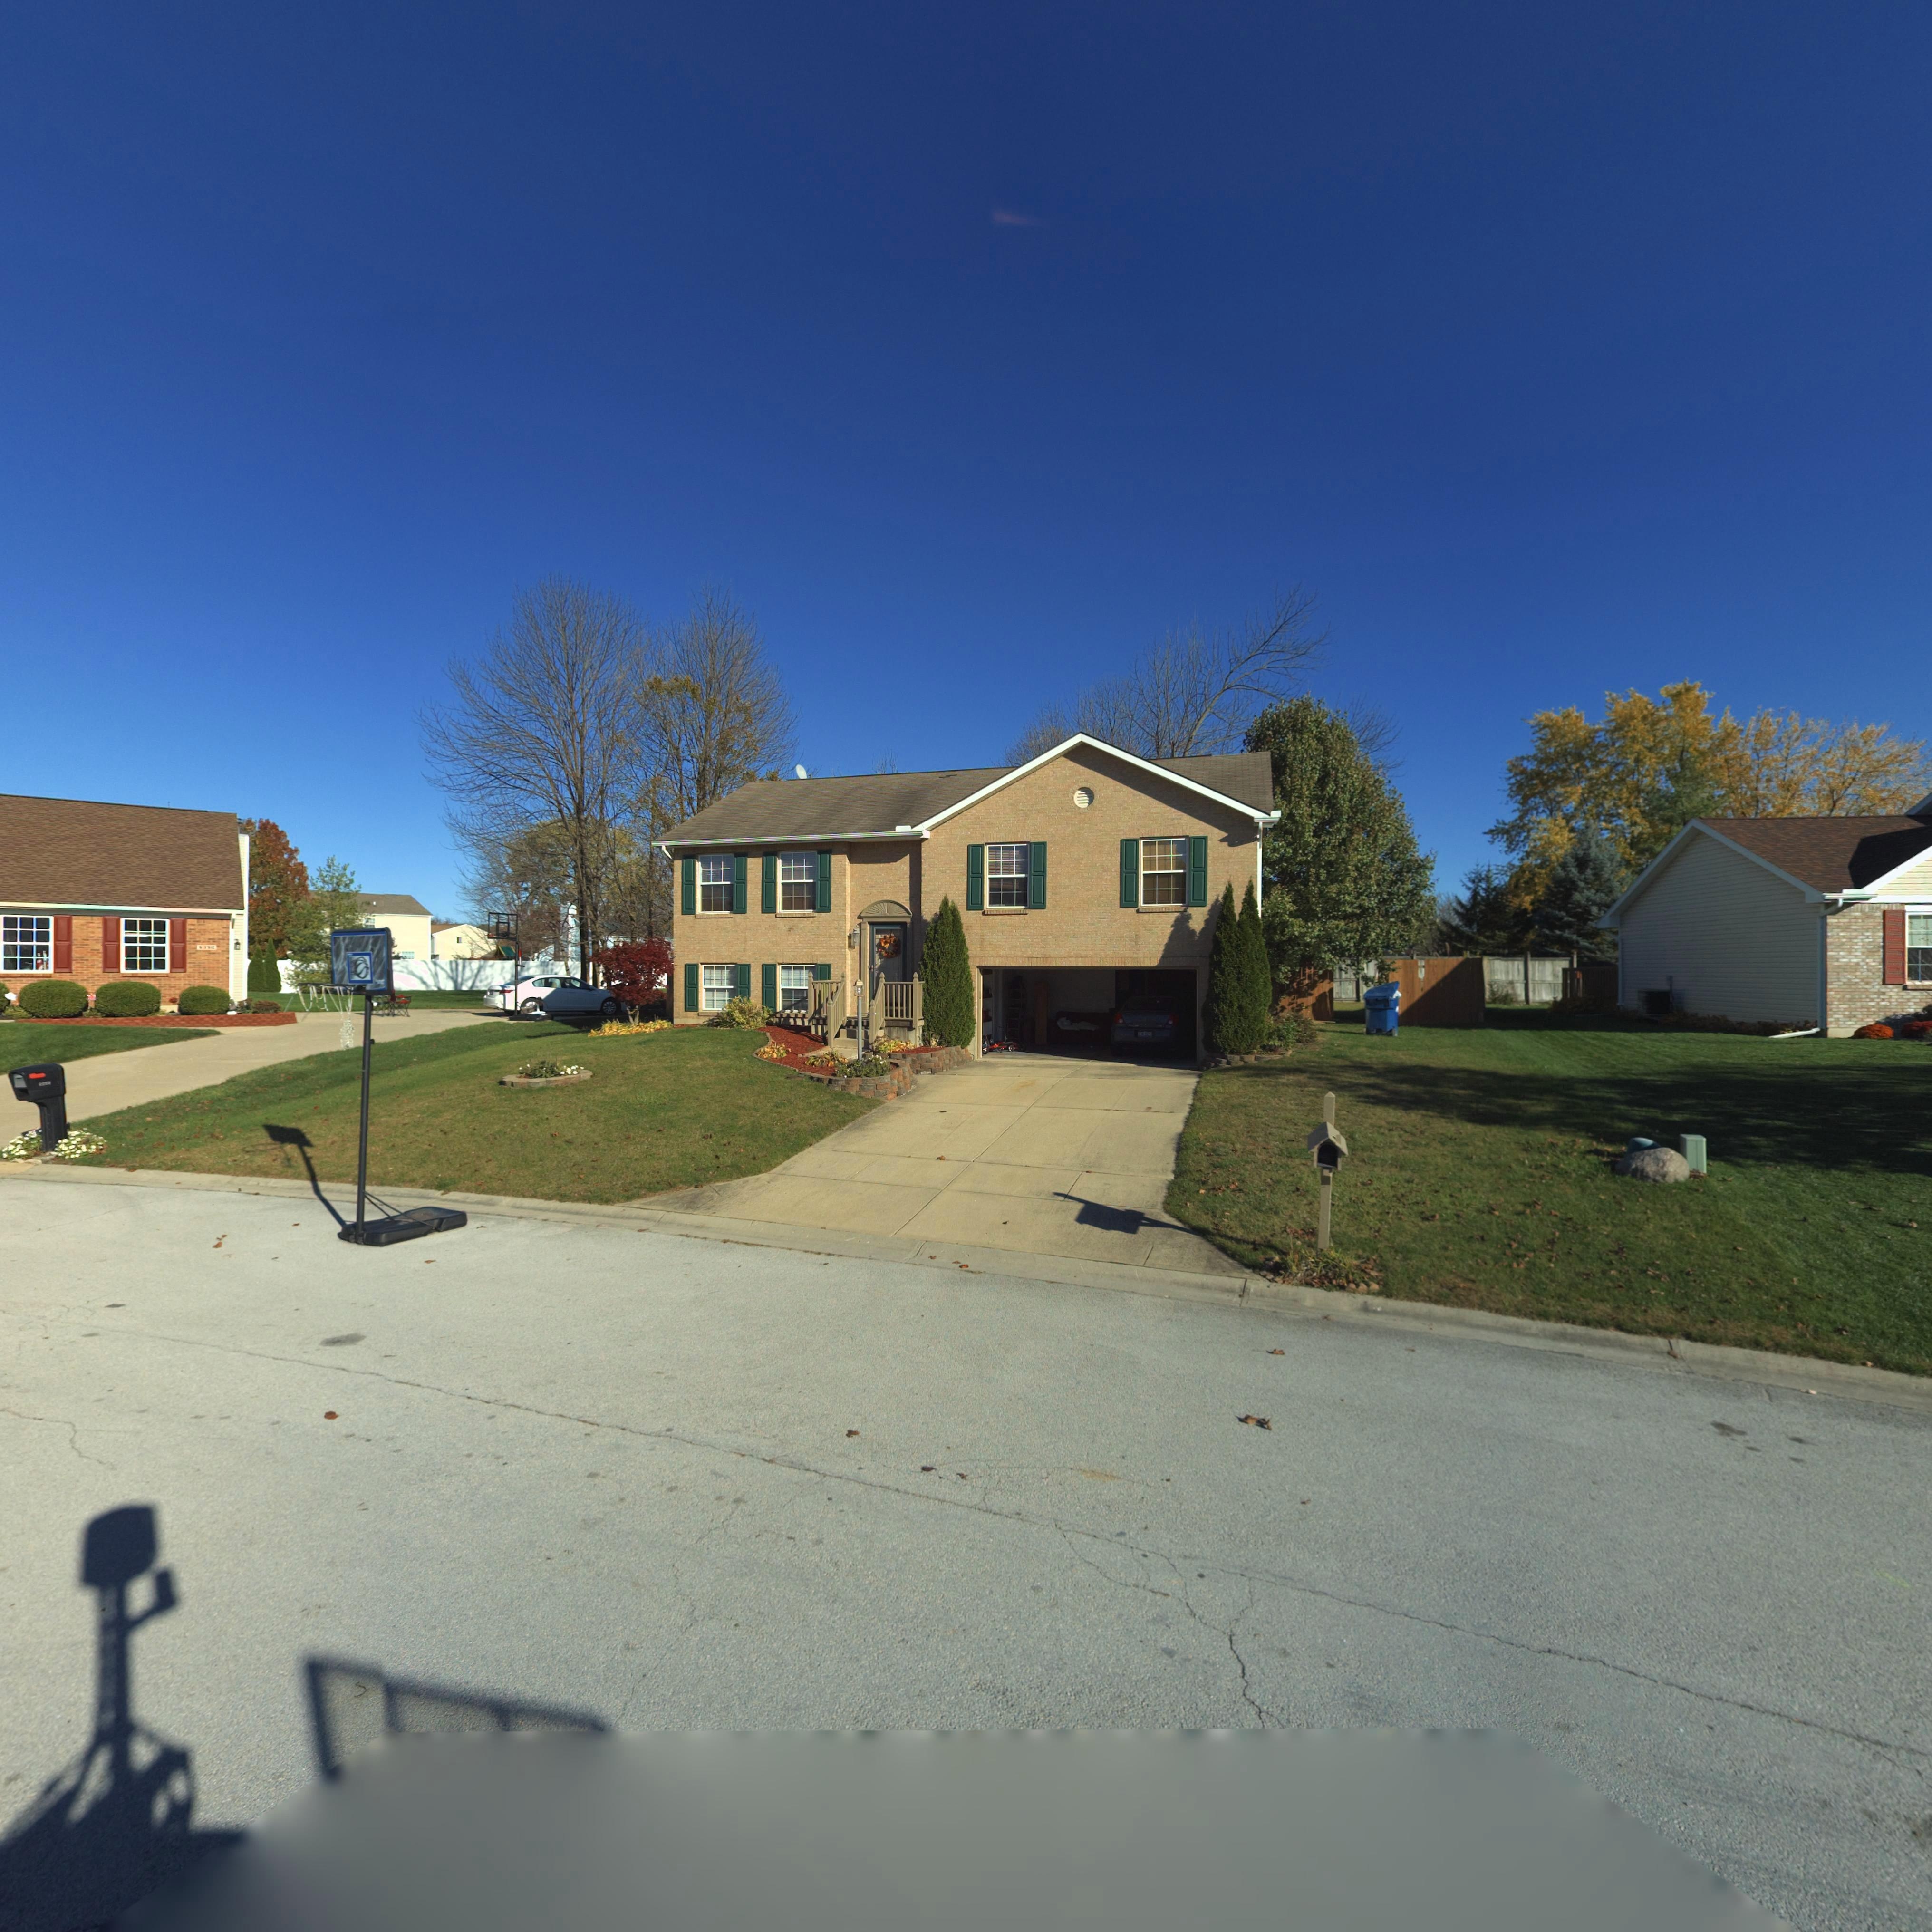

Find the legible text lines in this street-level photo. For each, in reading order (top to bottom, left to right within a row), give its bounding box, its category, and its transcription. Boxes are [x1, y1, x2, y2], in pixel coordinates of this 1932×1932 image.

[198, 945, 215, 949] StreetNumber: 6390